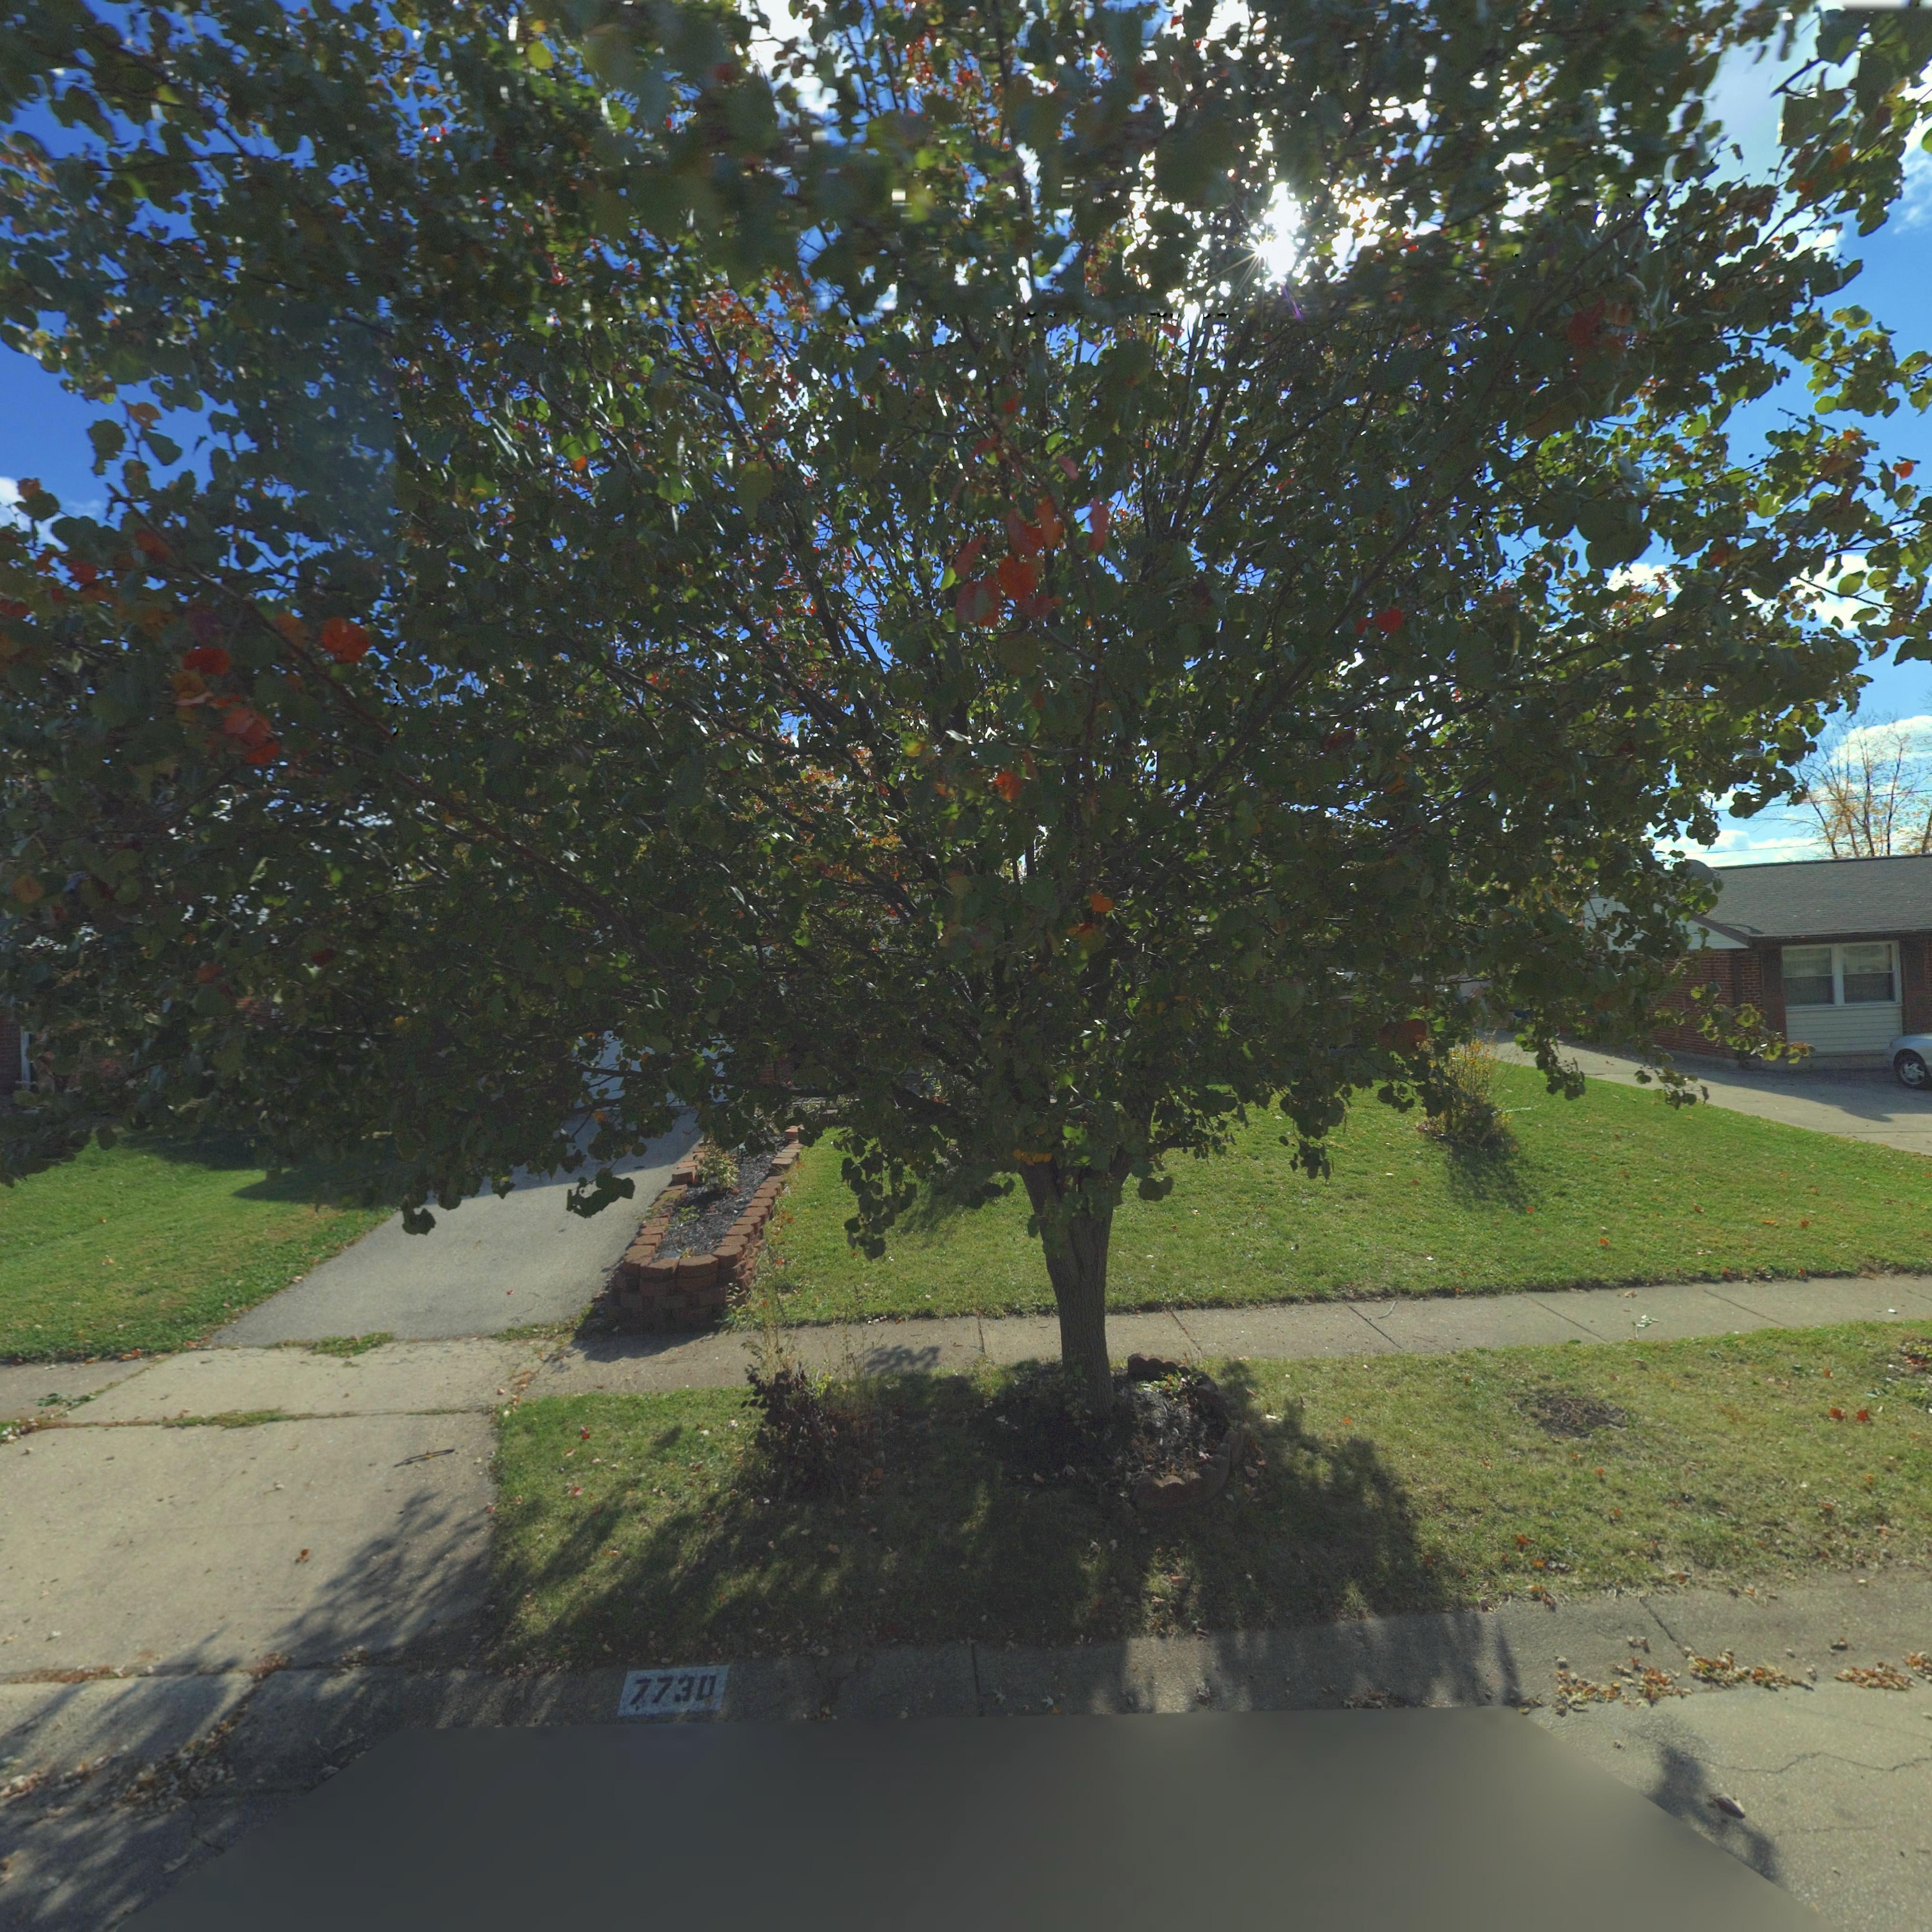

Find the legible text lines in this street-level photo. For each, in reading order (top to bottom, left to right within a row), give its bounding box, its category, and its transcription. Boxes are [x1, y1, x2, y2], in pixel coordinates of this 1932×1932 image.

[627, 1673, 719, 1707] StreetNumber: 7730